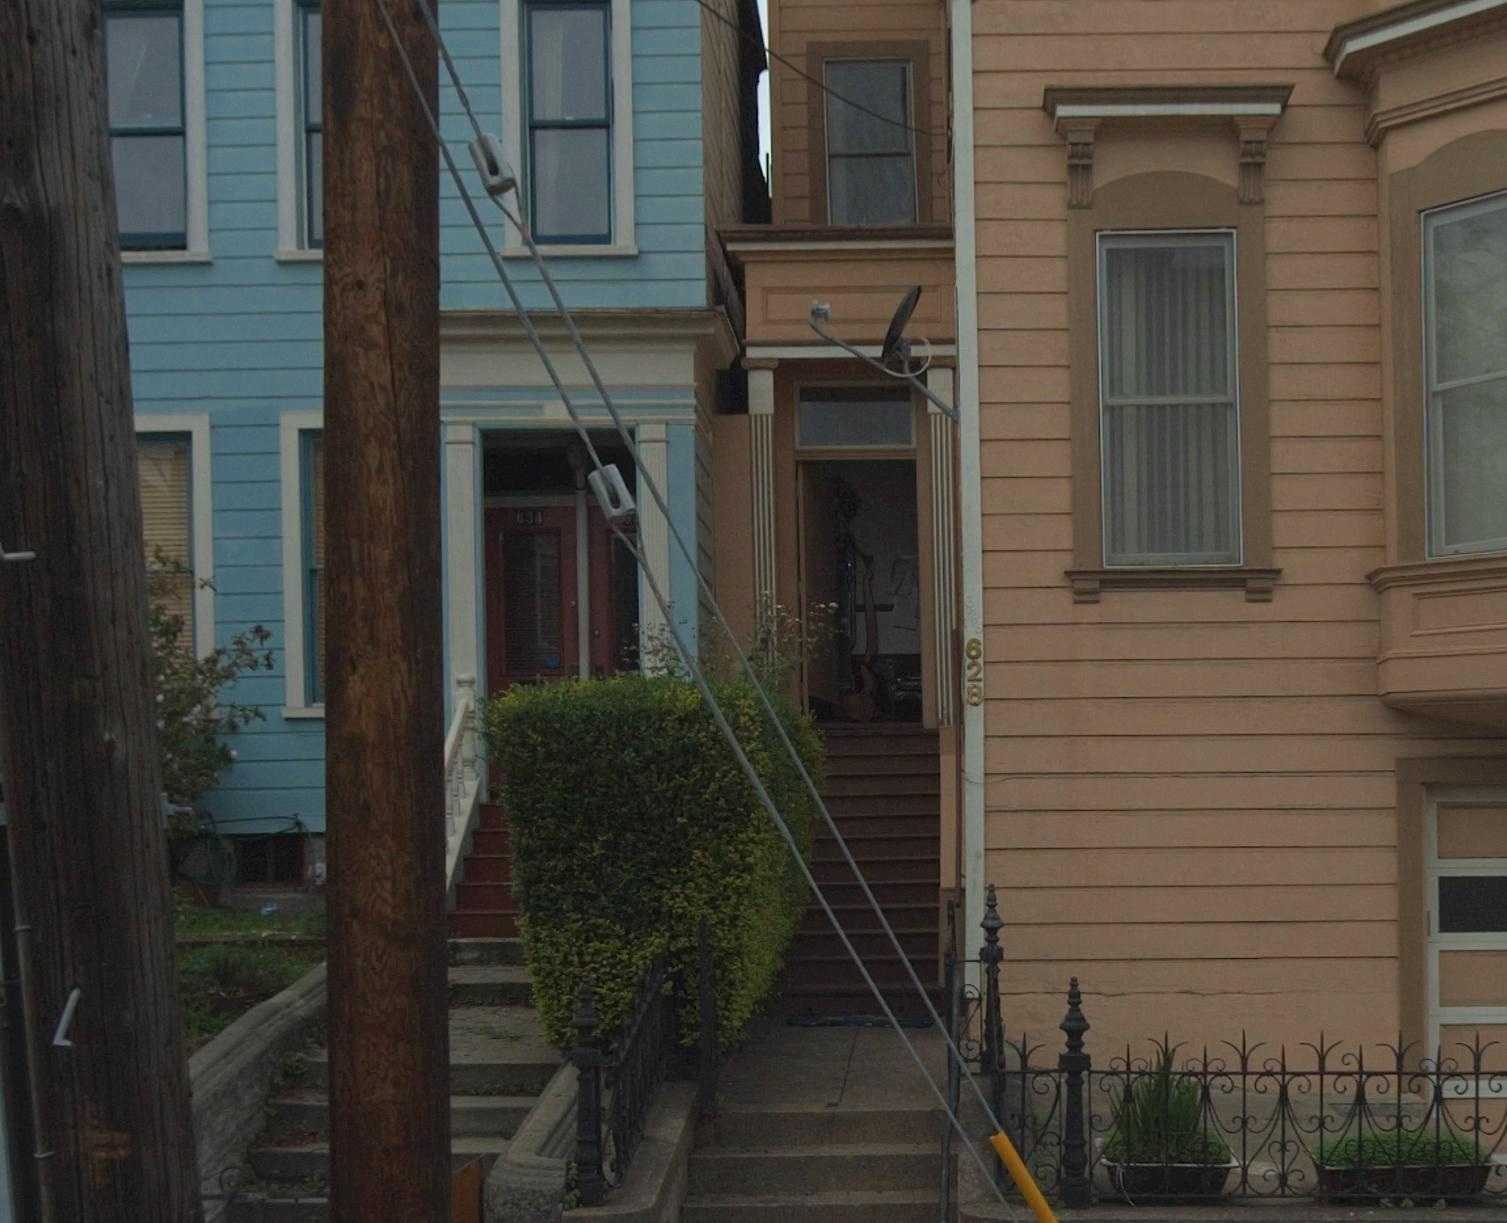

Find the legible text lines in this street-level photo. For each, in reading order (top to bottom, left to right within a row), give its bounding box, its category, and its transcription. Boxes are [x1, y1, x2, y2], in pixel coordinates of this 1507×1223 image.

[514, 510, 544, 525] StreetNumber: 634
[964, 637, 985, 707] StreetNumber: 628